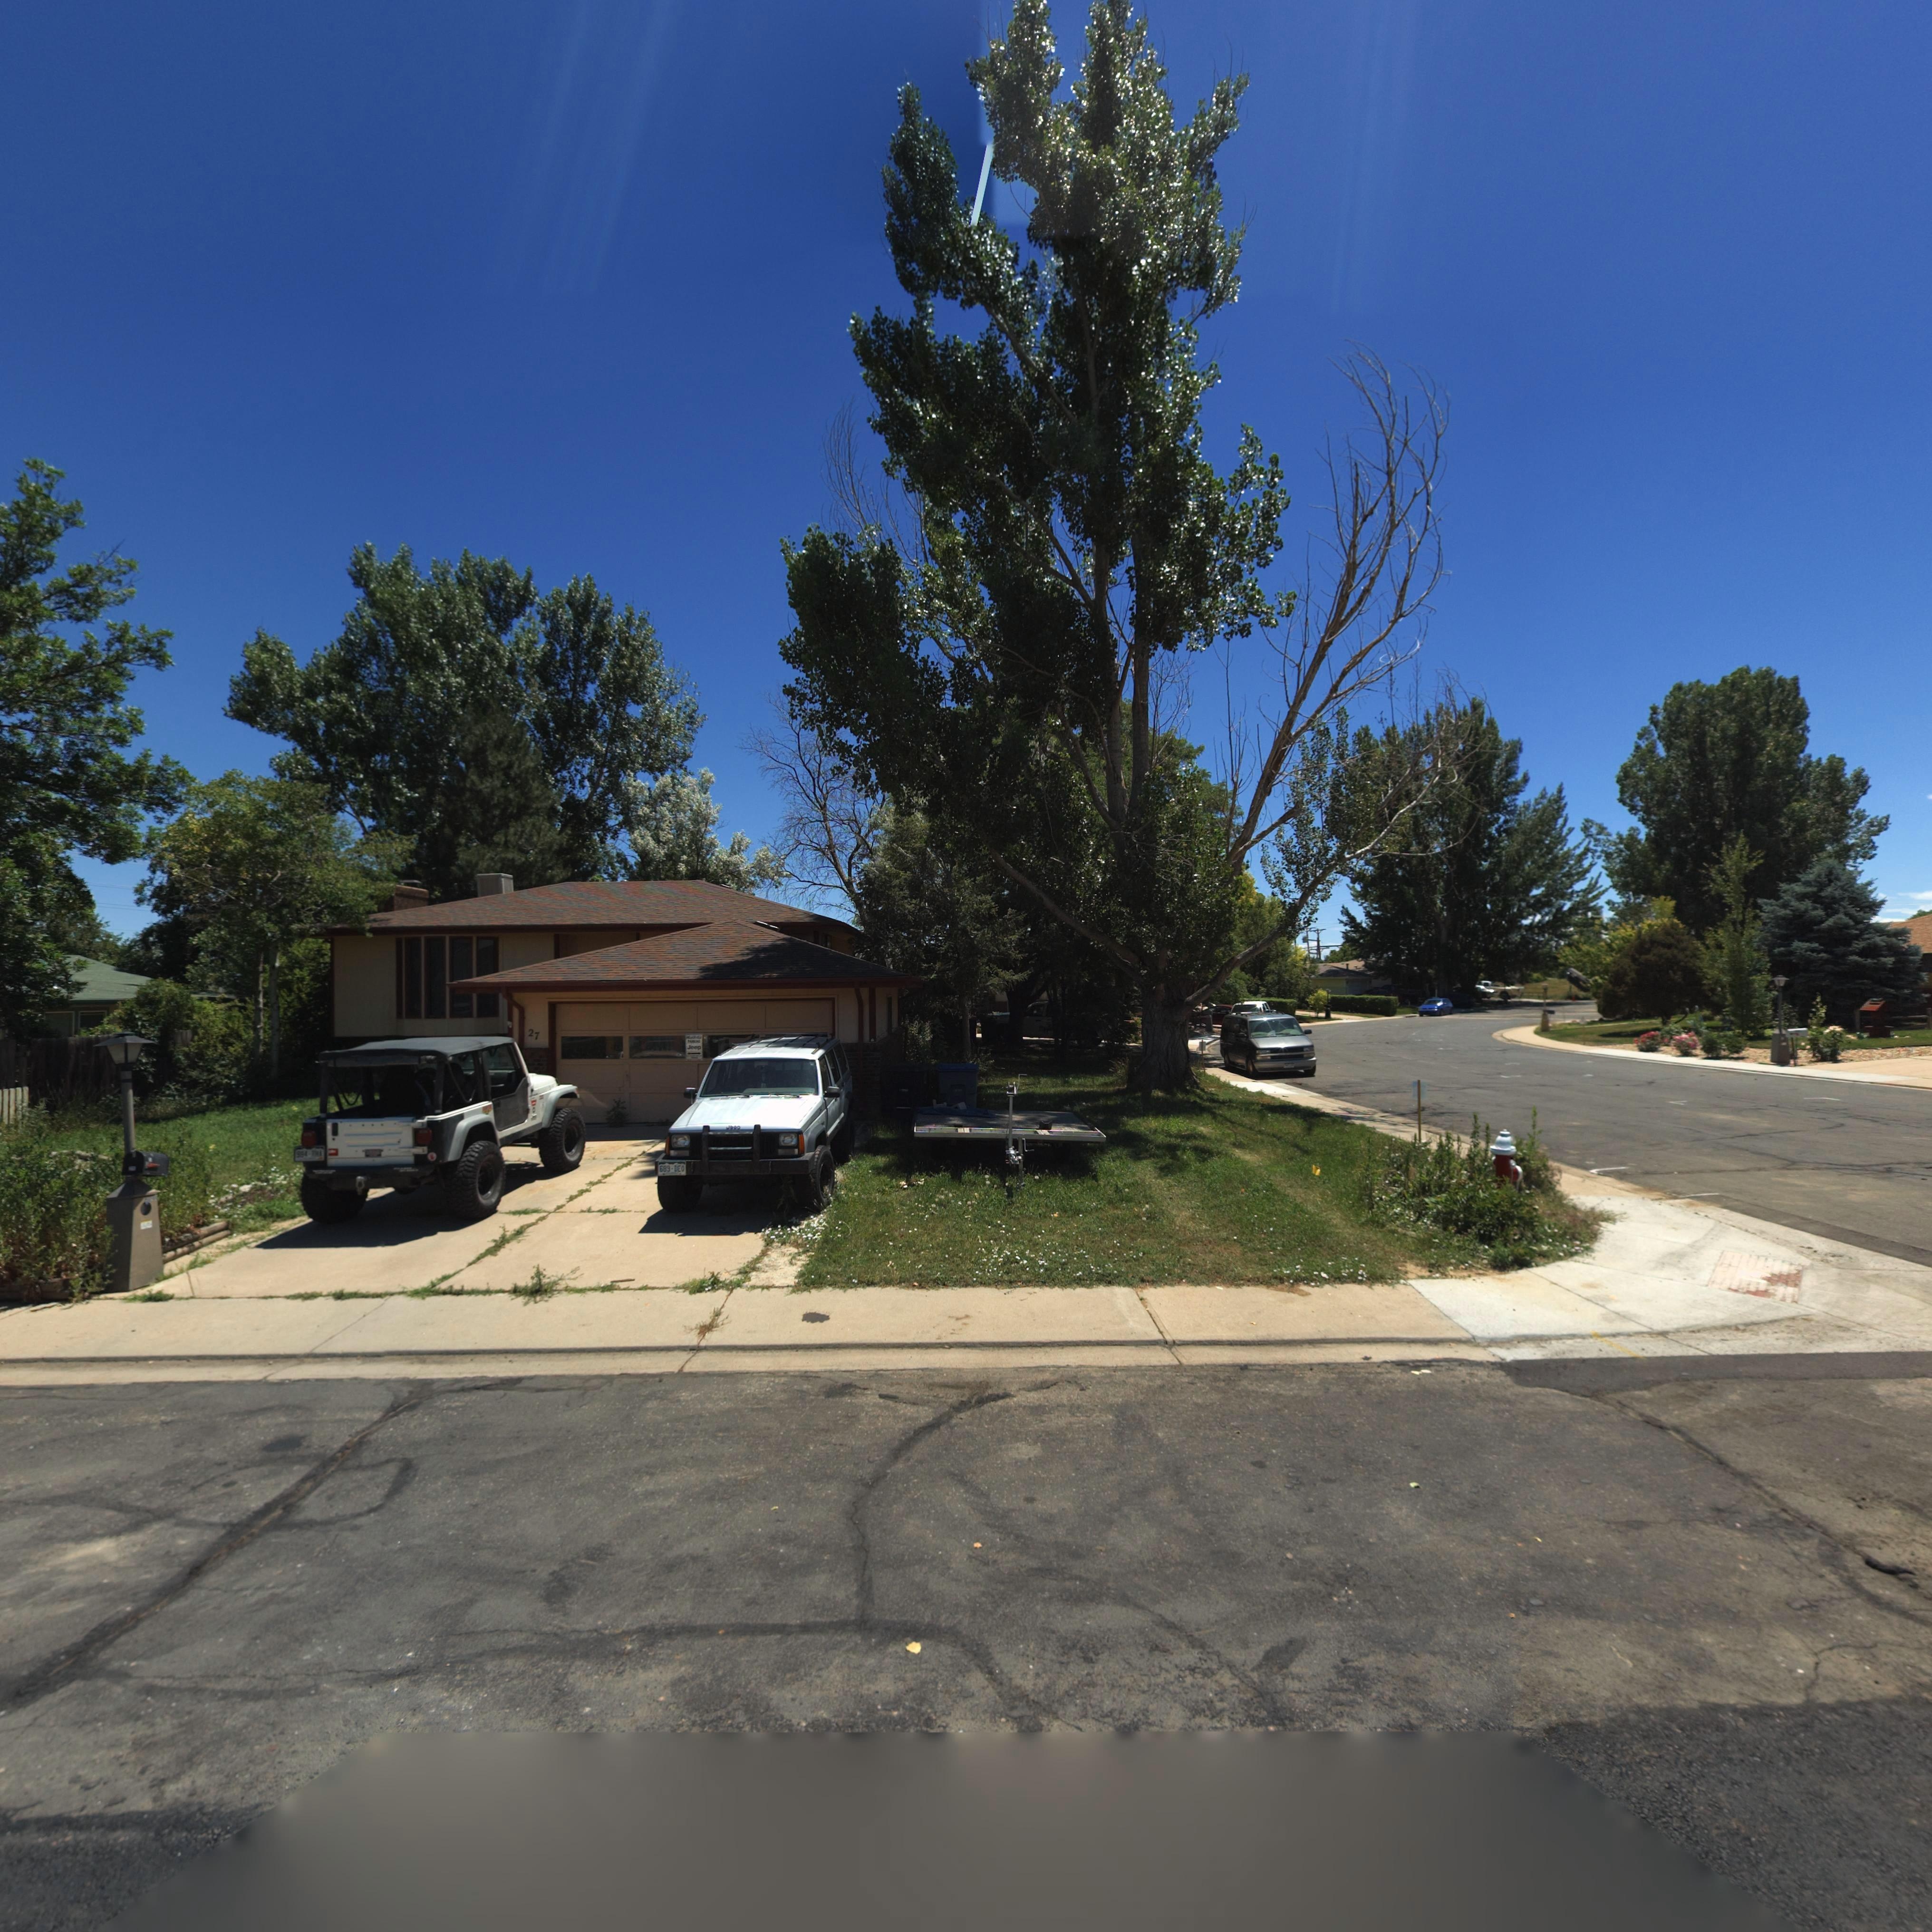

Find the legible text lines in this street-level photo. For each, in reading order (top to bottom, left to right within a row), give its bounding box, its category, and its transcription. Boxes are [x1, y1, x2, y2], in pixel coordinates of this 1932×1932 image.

[528, 1028, 540, 1040] StreetNumber: 27